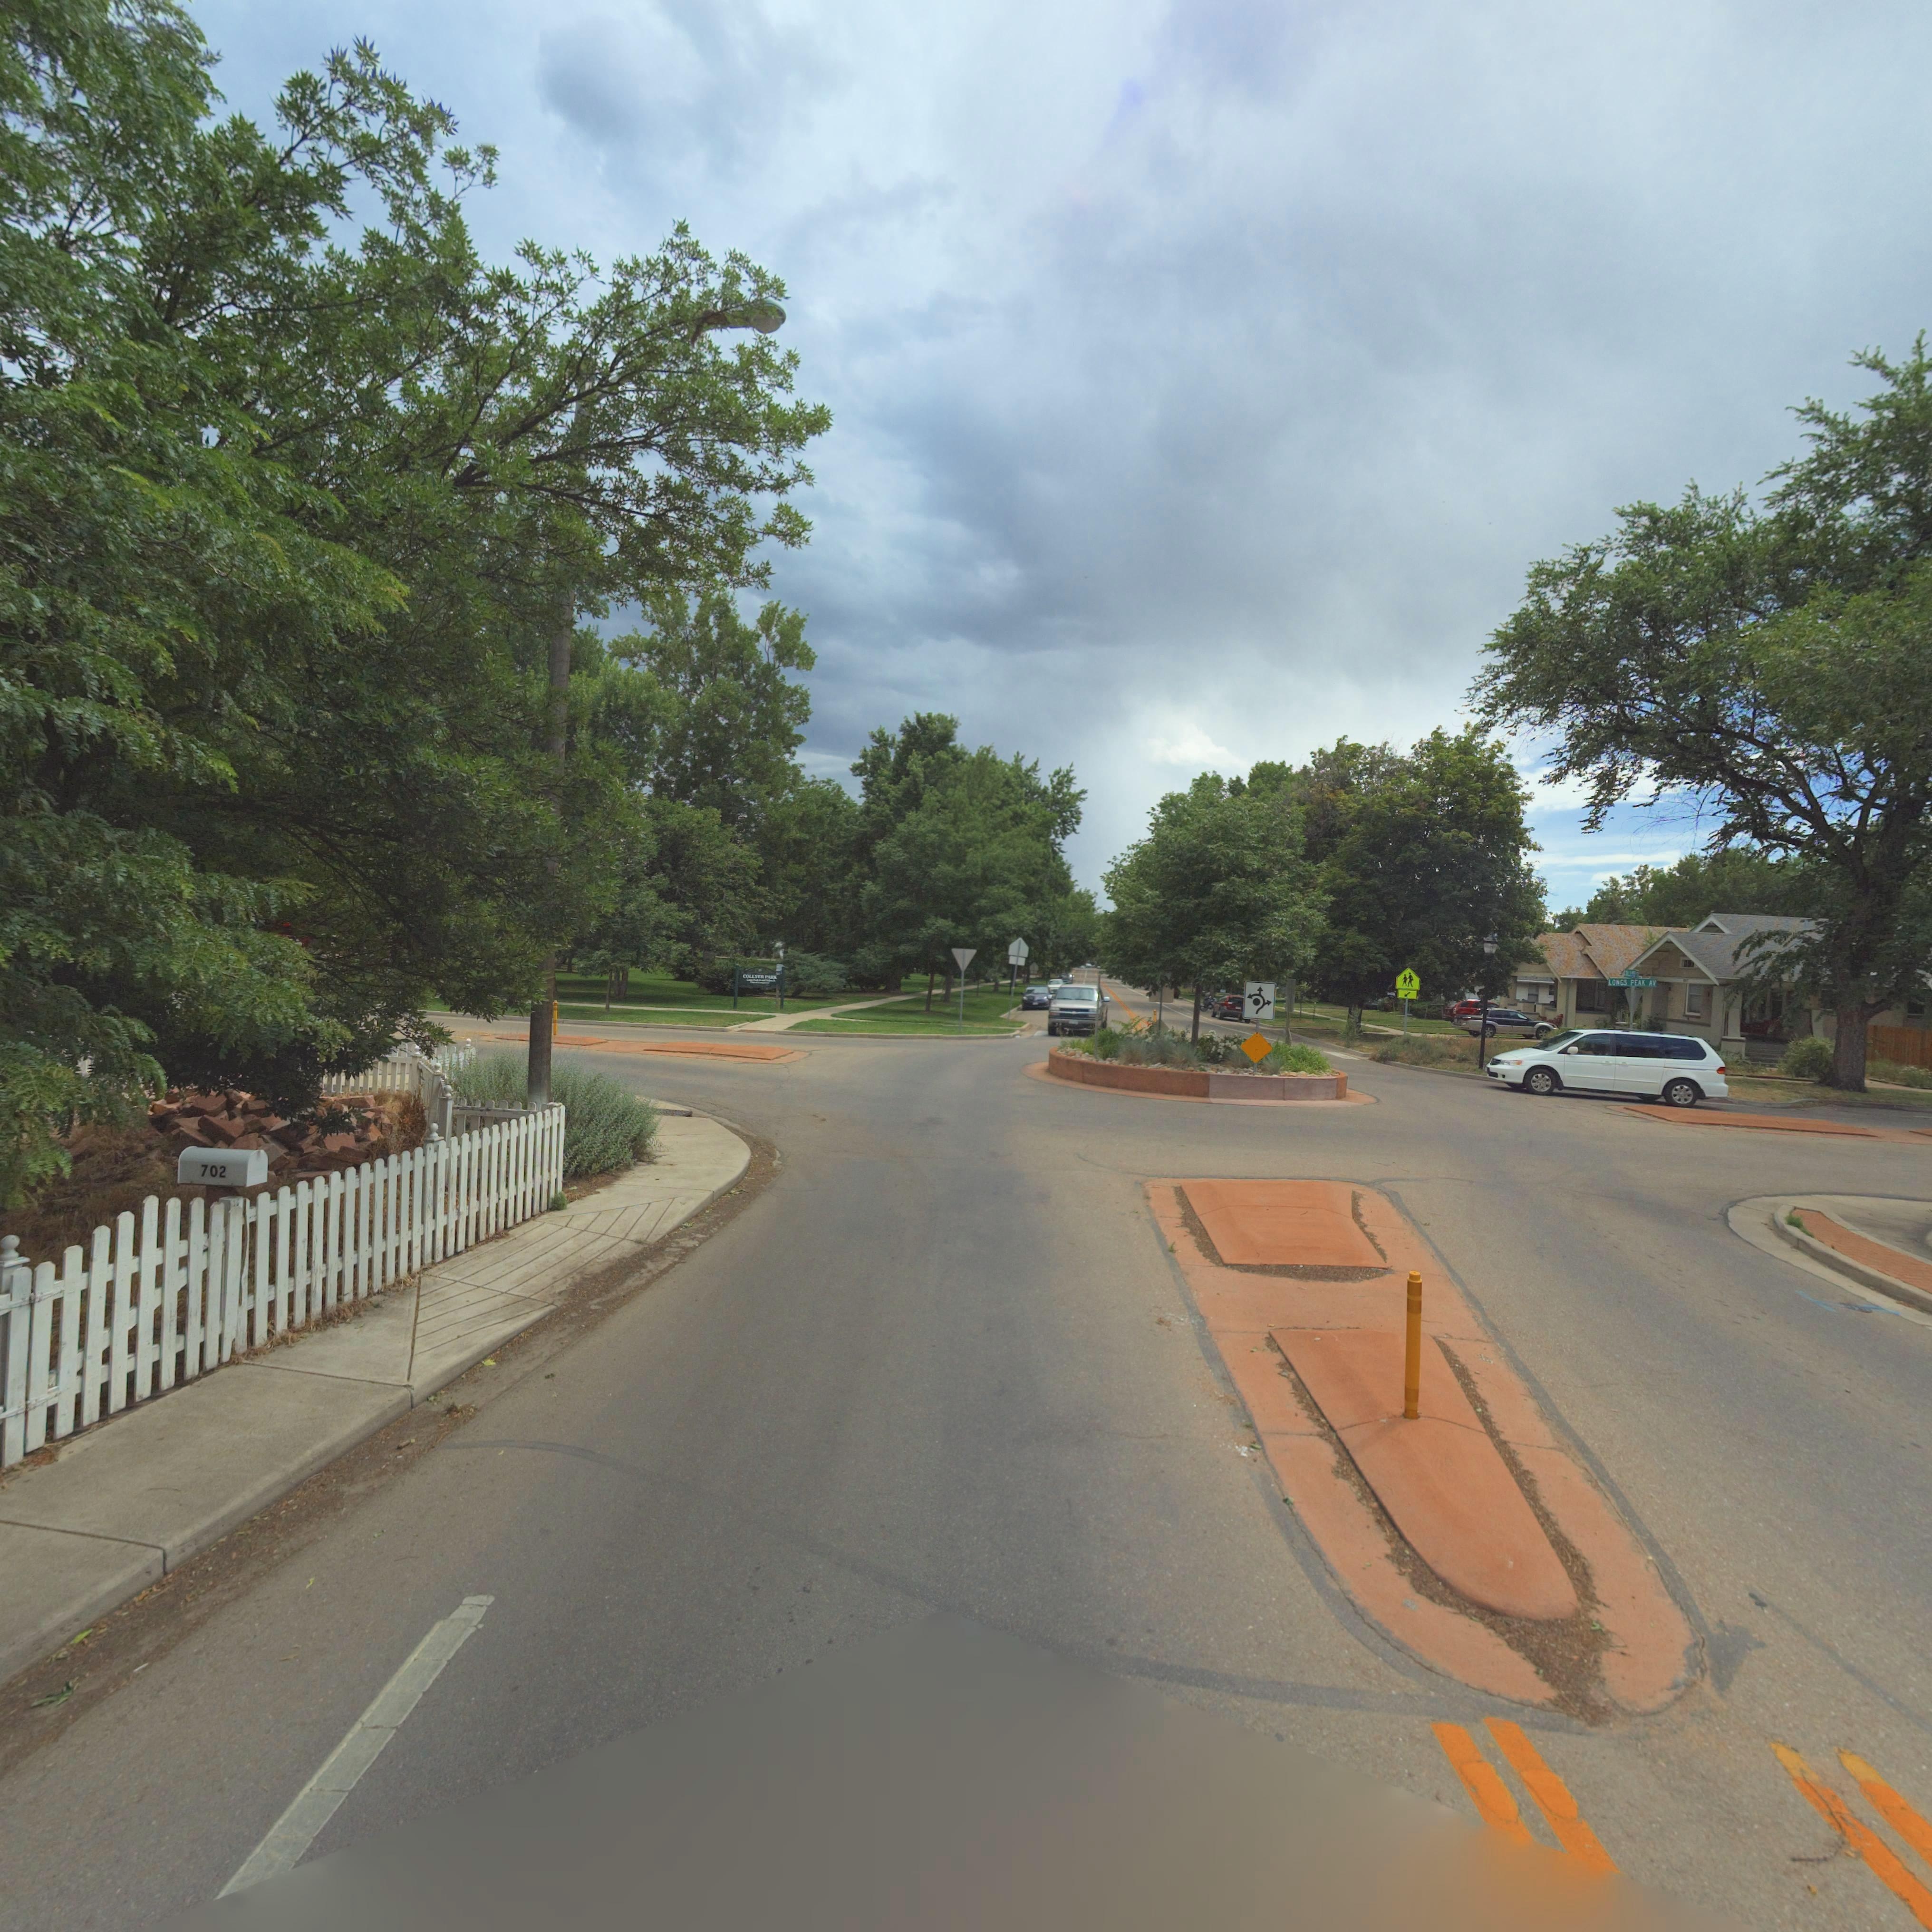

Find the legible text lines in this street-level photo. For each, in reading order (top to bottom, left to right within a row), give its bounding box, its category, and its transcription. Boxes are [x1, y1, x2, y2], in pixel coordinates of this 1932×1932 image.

[743, 974, 778, 979] BusinessName: COLLYER PARK
[1623, 970, 1639, 977] StreetName: COLLYER **
[1608, 978, 1657, 986] StreetName: LONGS PEAK AV
[200, 1163, 226, 1179] StreetNumber: 702